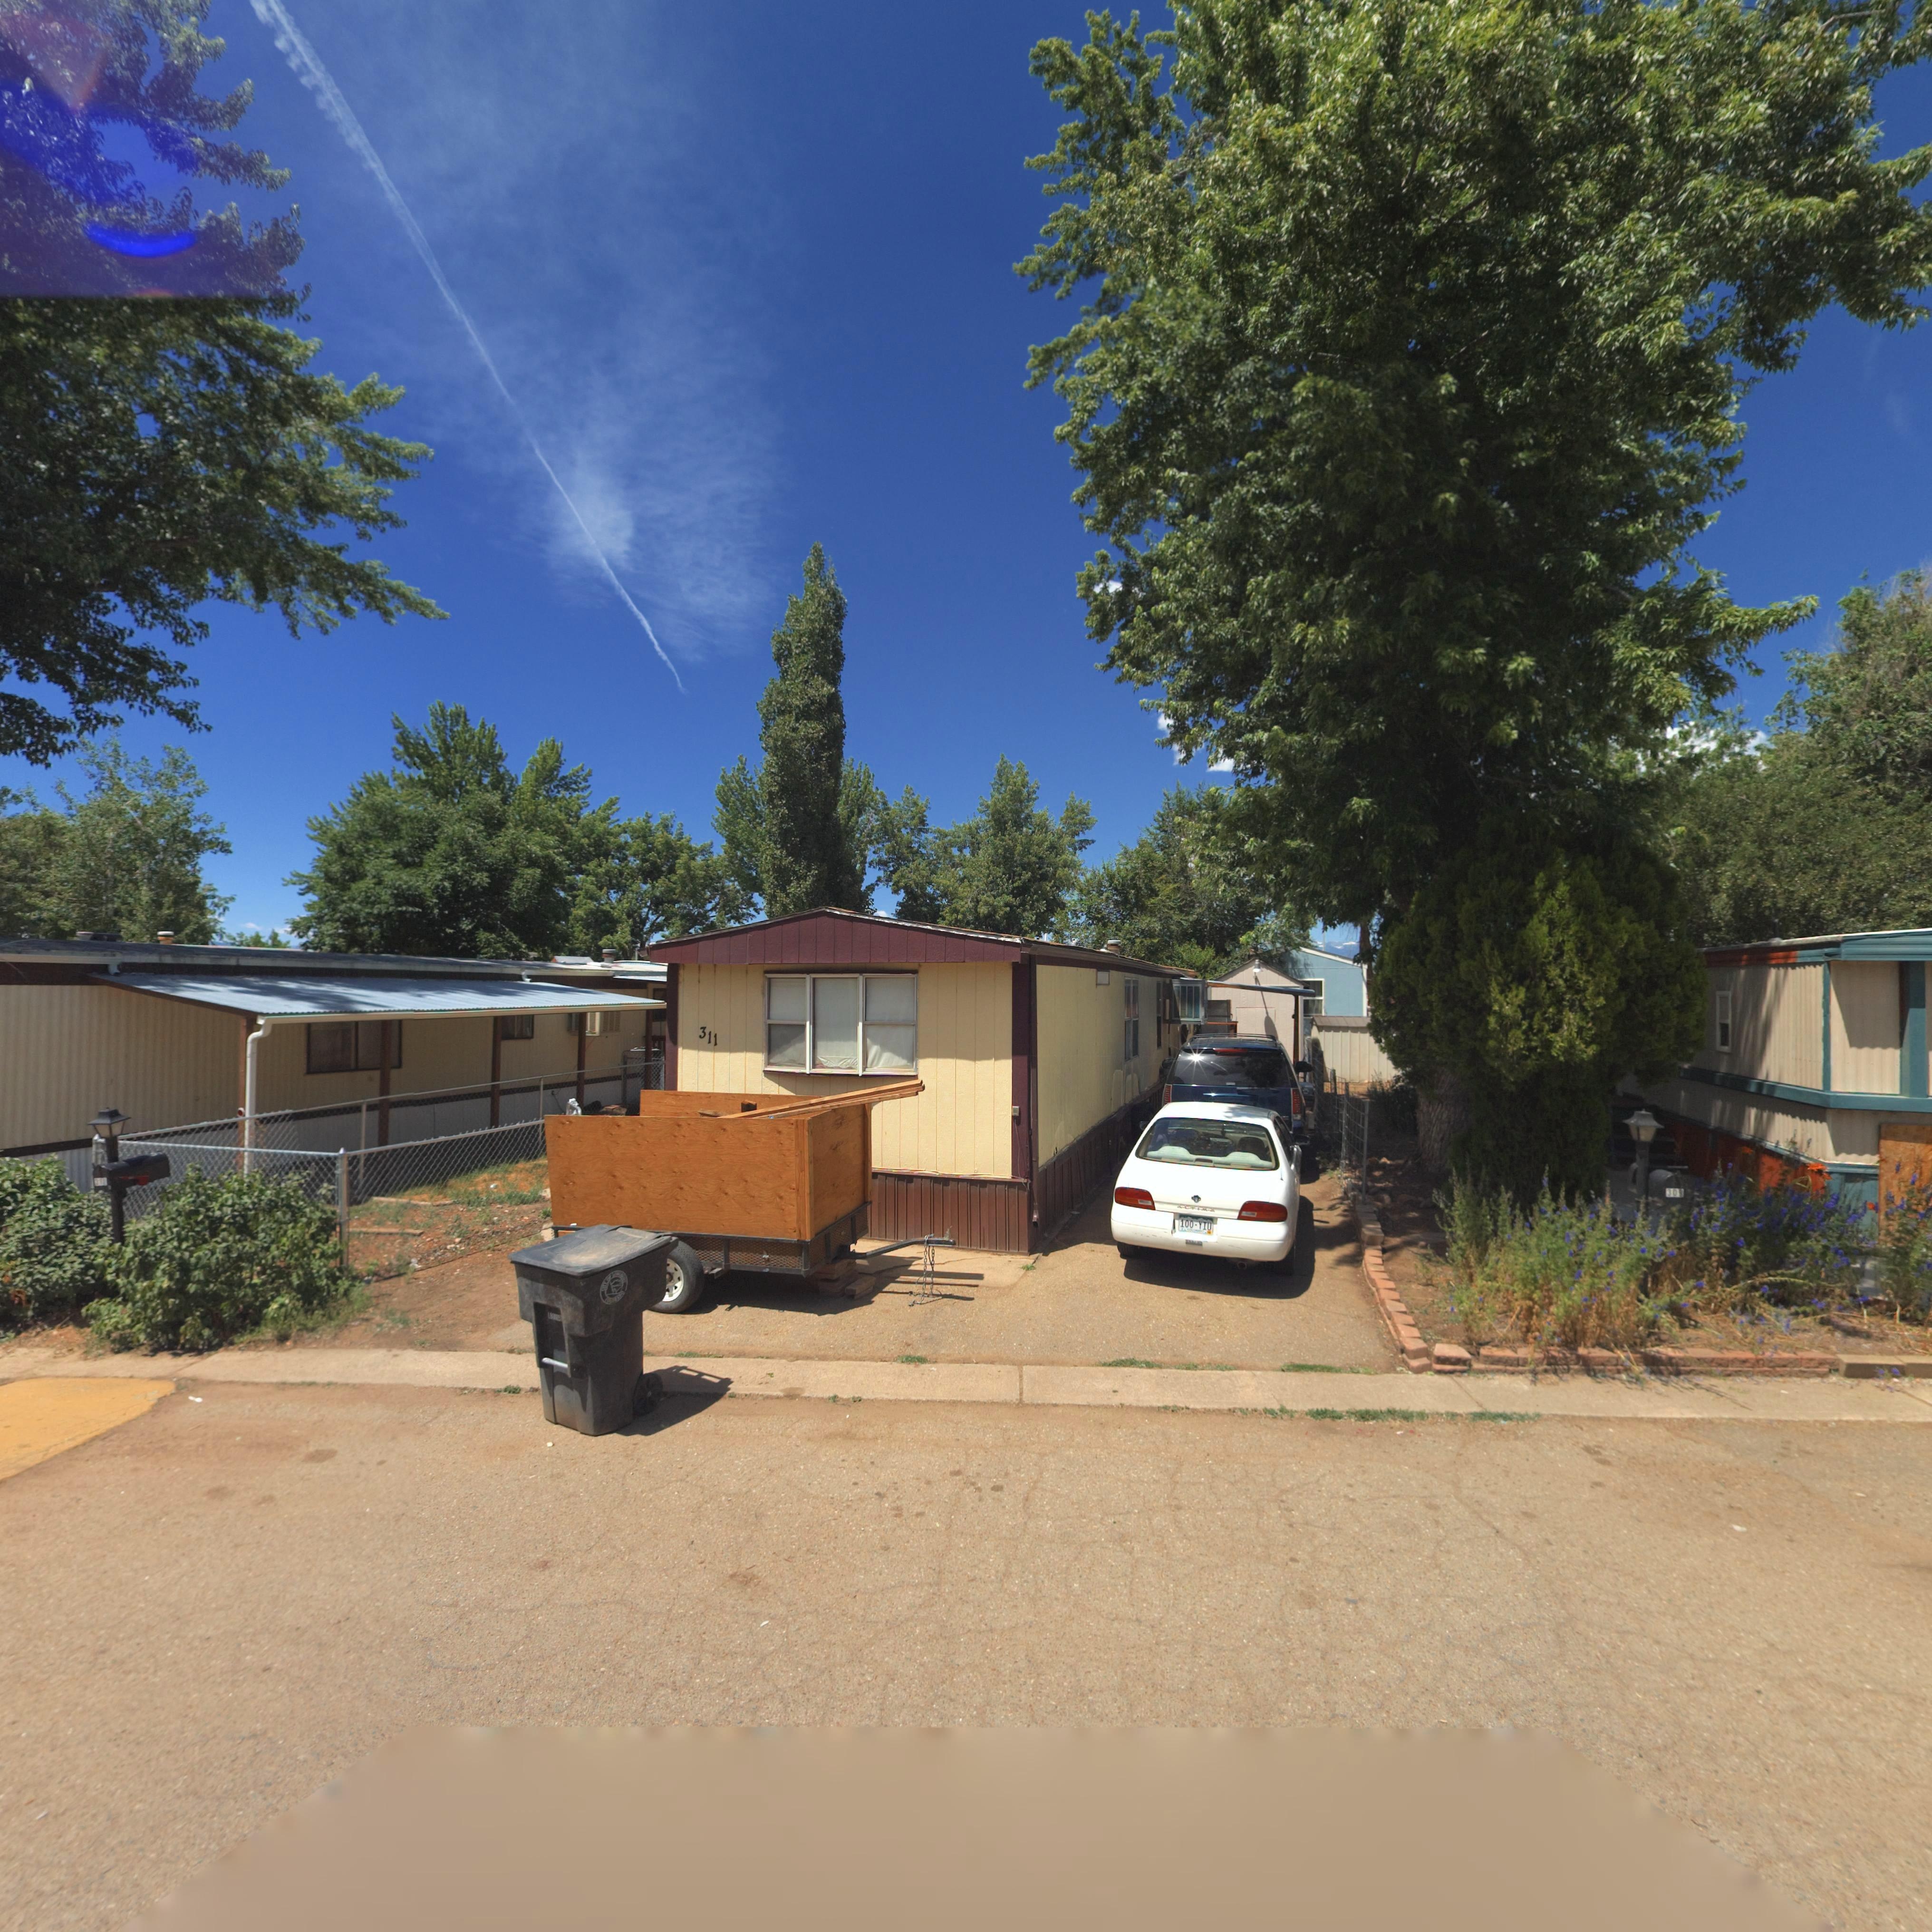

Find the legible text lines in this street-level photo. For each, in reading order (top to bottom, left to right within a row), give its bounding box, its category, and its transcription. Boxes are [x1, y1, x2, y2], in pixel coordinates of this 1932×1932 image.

[698, 1026, 717, 1047] StreetNumber: 311
[95, 1178, 106, 1185] StreetNumber: 3**
[1667, 1189, 1682, 1197] StreetNumber: 309